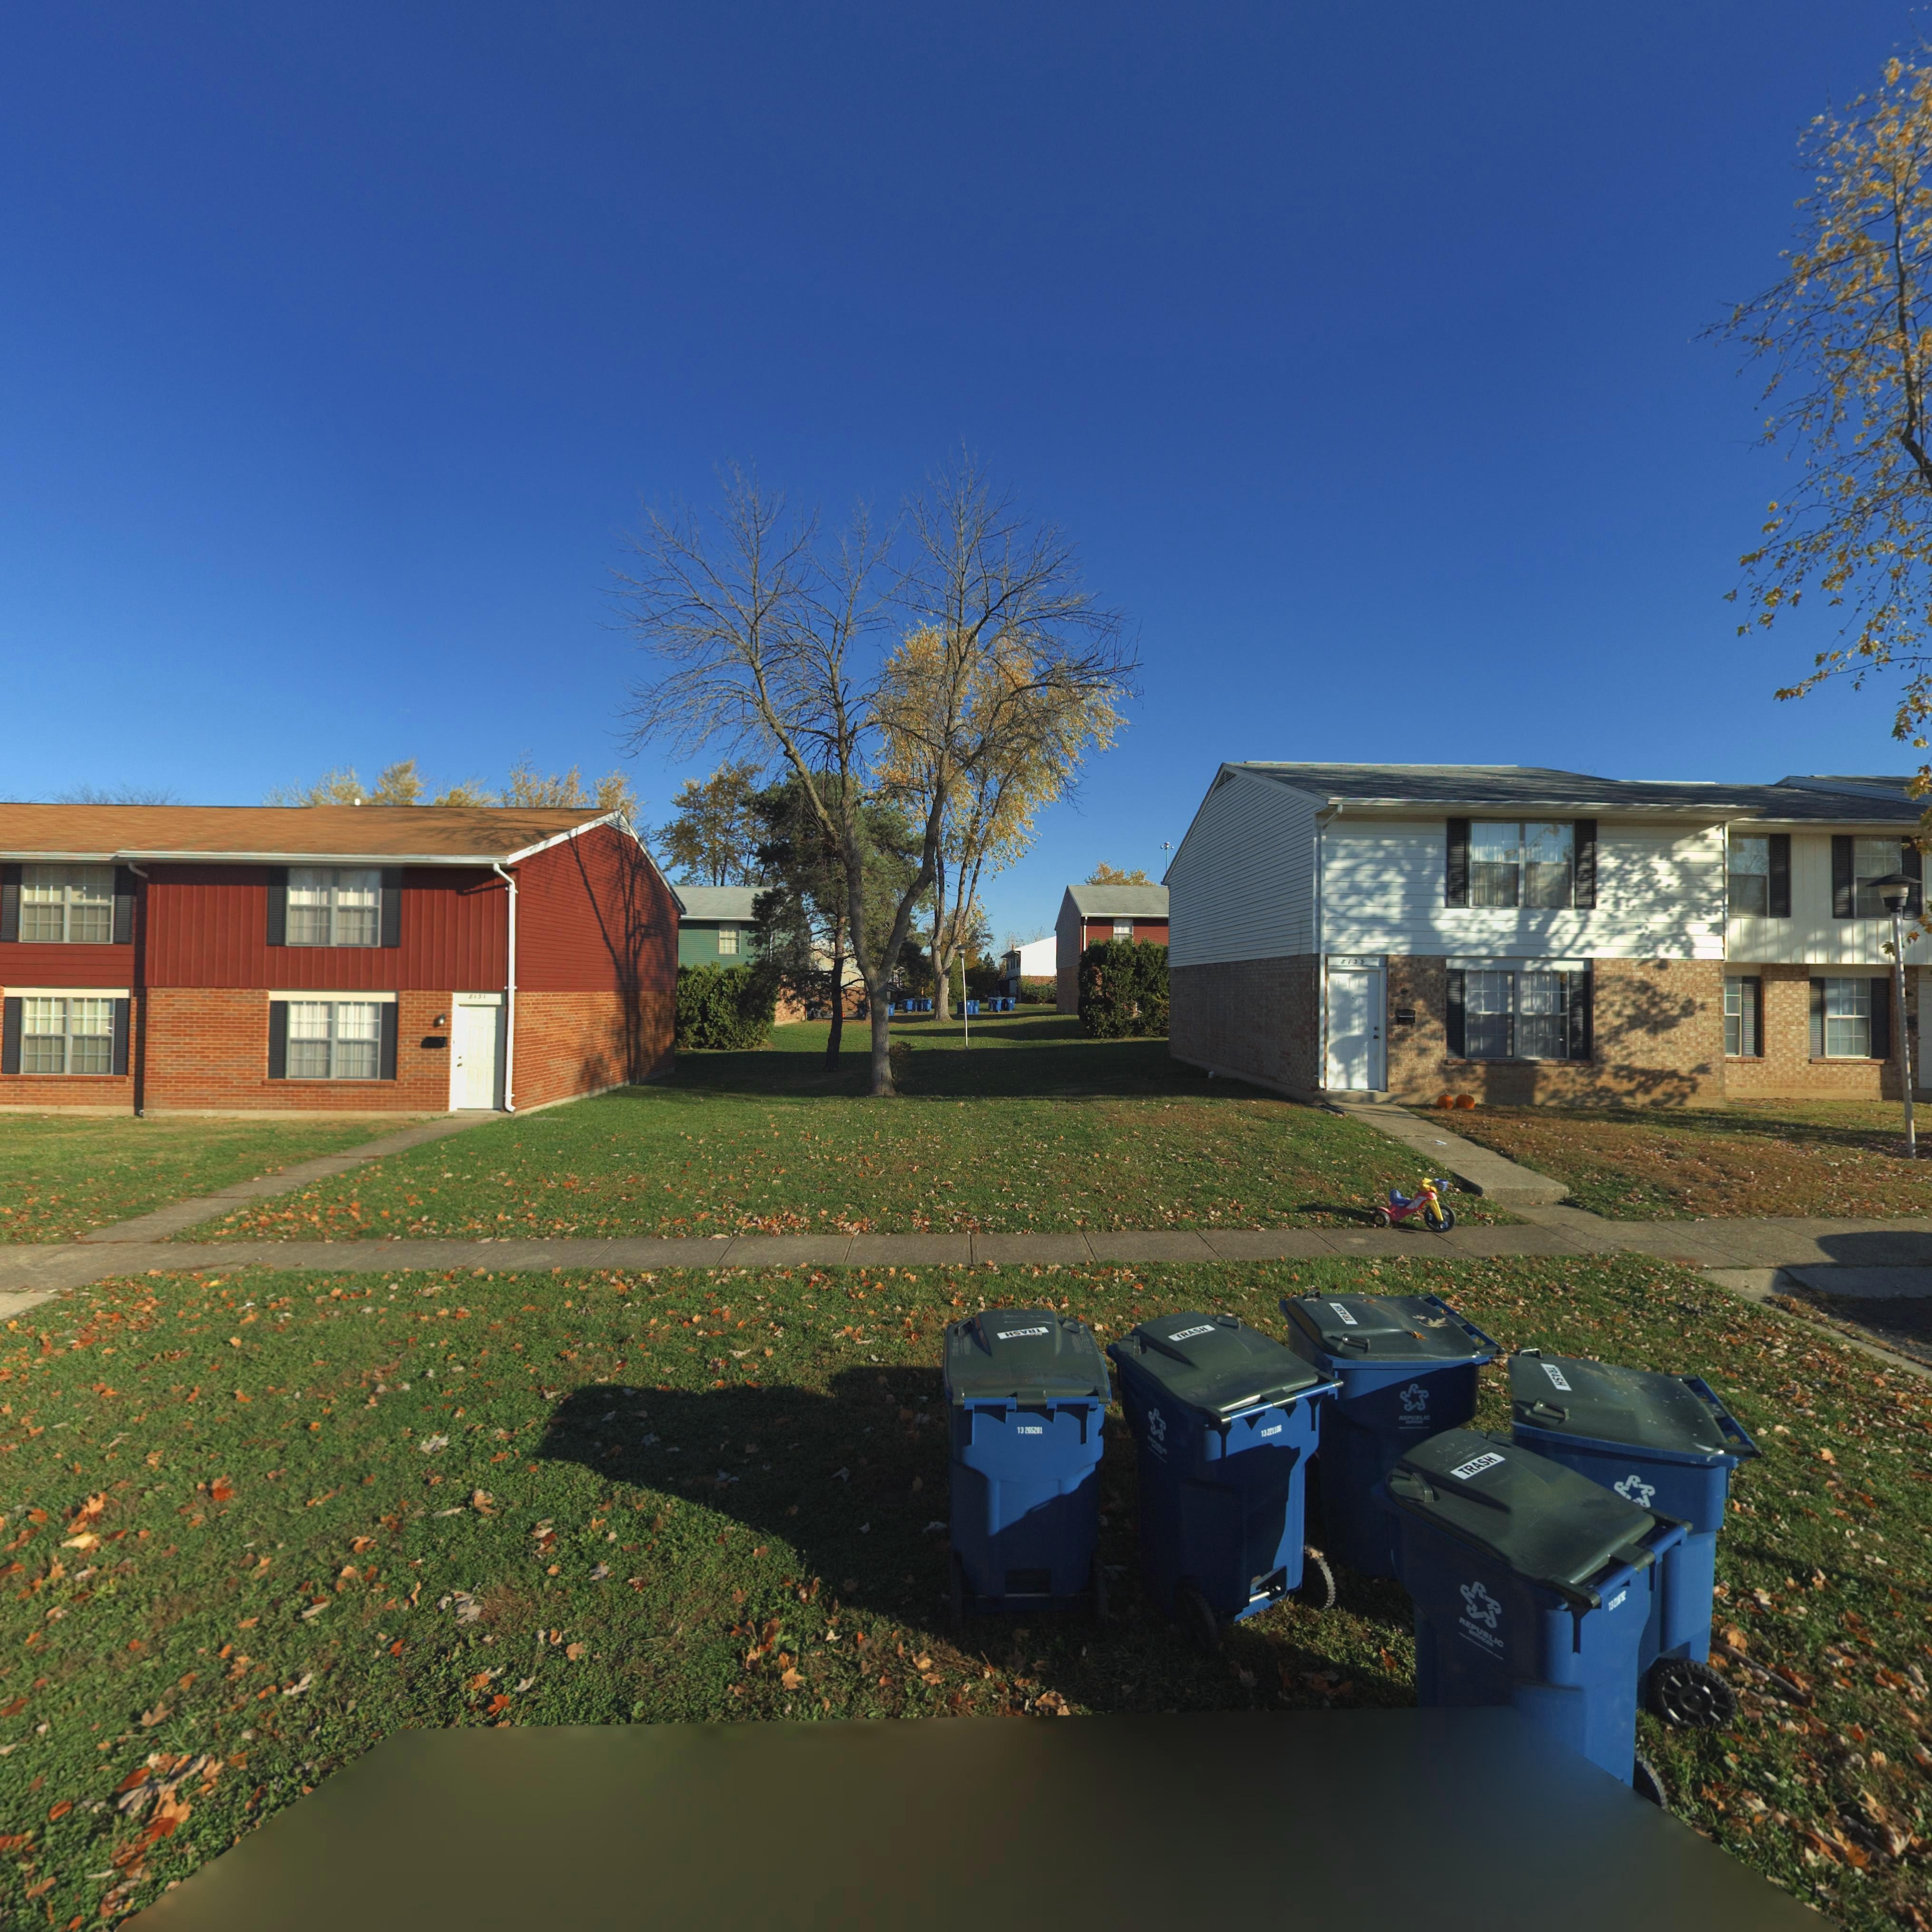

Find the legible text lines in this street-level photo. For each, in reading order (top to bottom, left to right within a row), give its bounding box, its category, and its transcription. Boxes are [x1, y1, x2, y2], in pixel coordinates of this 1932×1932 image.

[1339, 957, 1365, 965] StreetNumber: 8135
[468, 993, 487, 1000] StreetNumber: *1*1